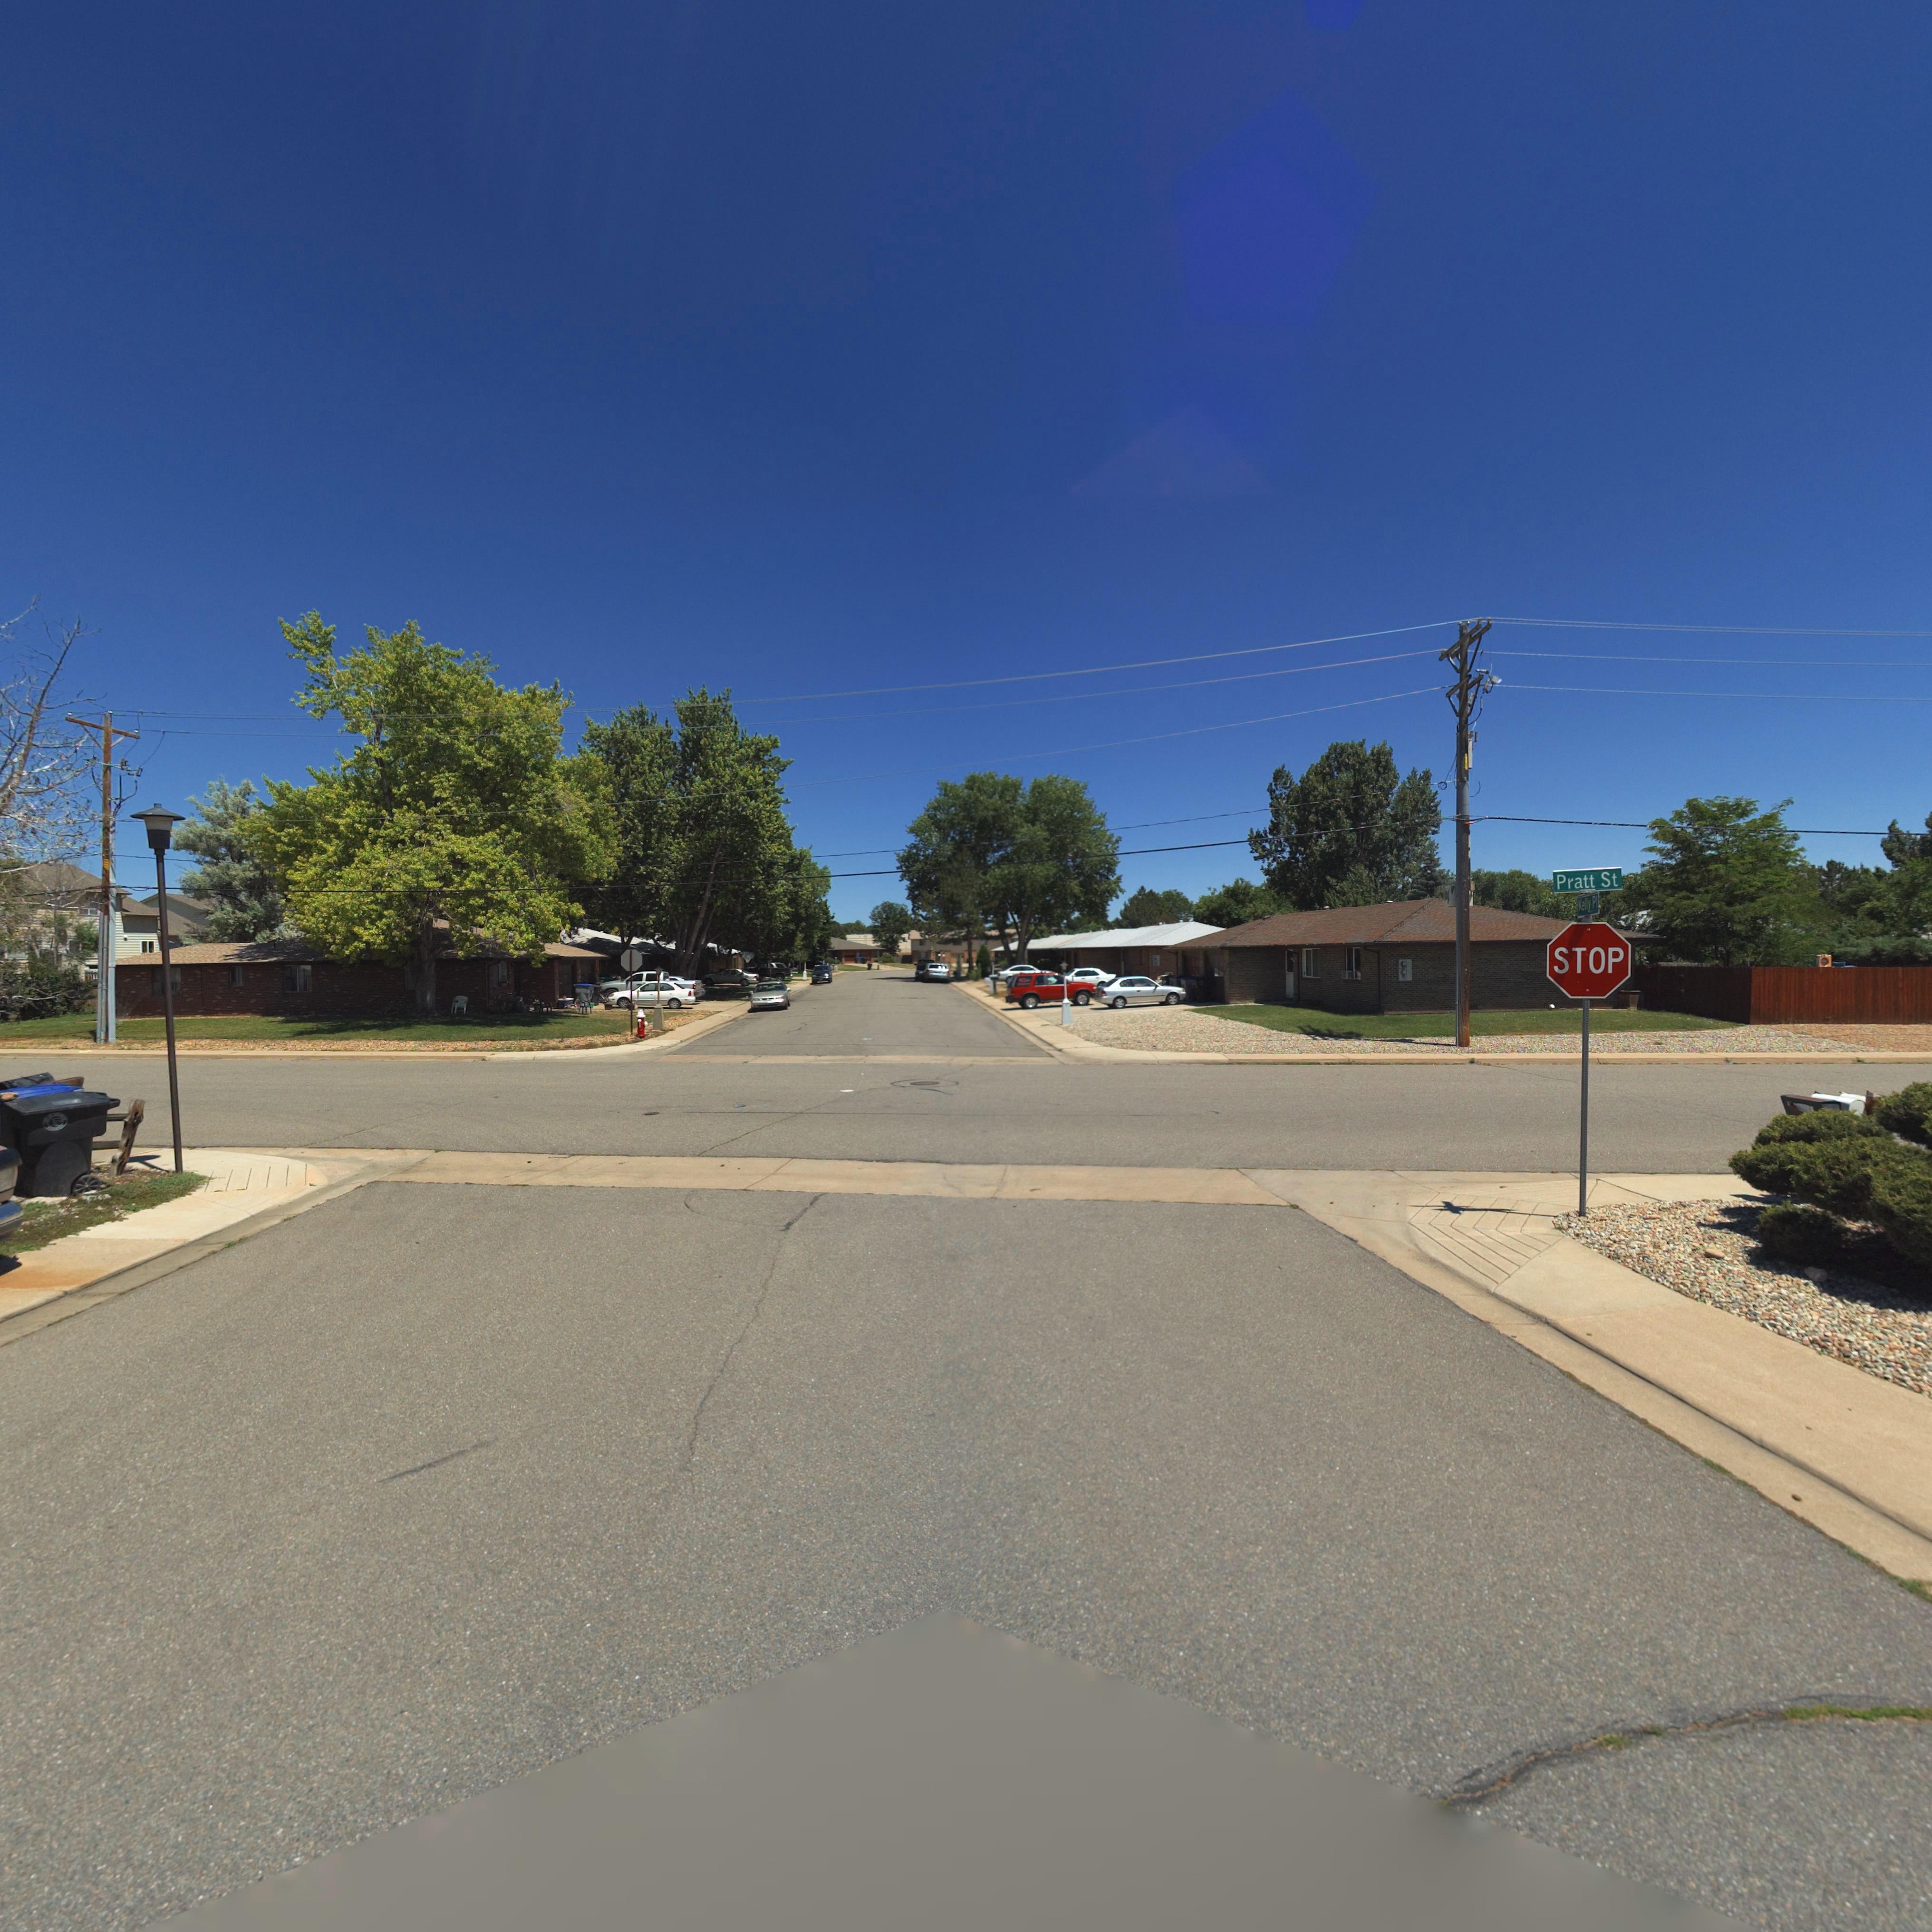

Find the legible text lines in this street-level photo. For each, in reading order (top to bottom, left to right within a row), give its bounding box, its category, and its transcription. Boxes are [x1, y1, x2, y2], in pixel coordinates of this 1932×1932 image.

[1555, 871, 1619, 890] StreetName: Pratt St
[1577, 894, 1598, 913] StreetName: Kelly Pl